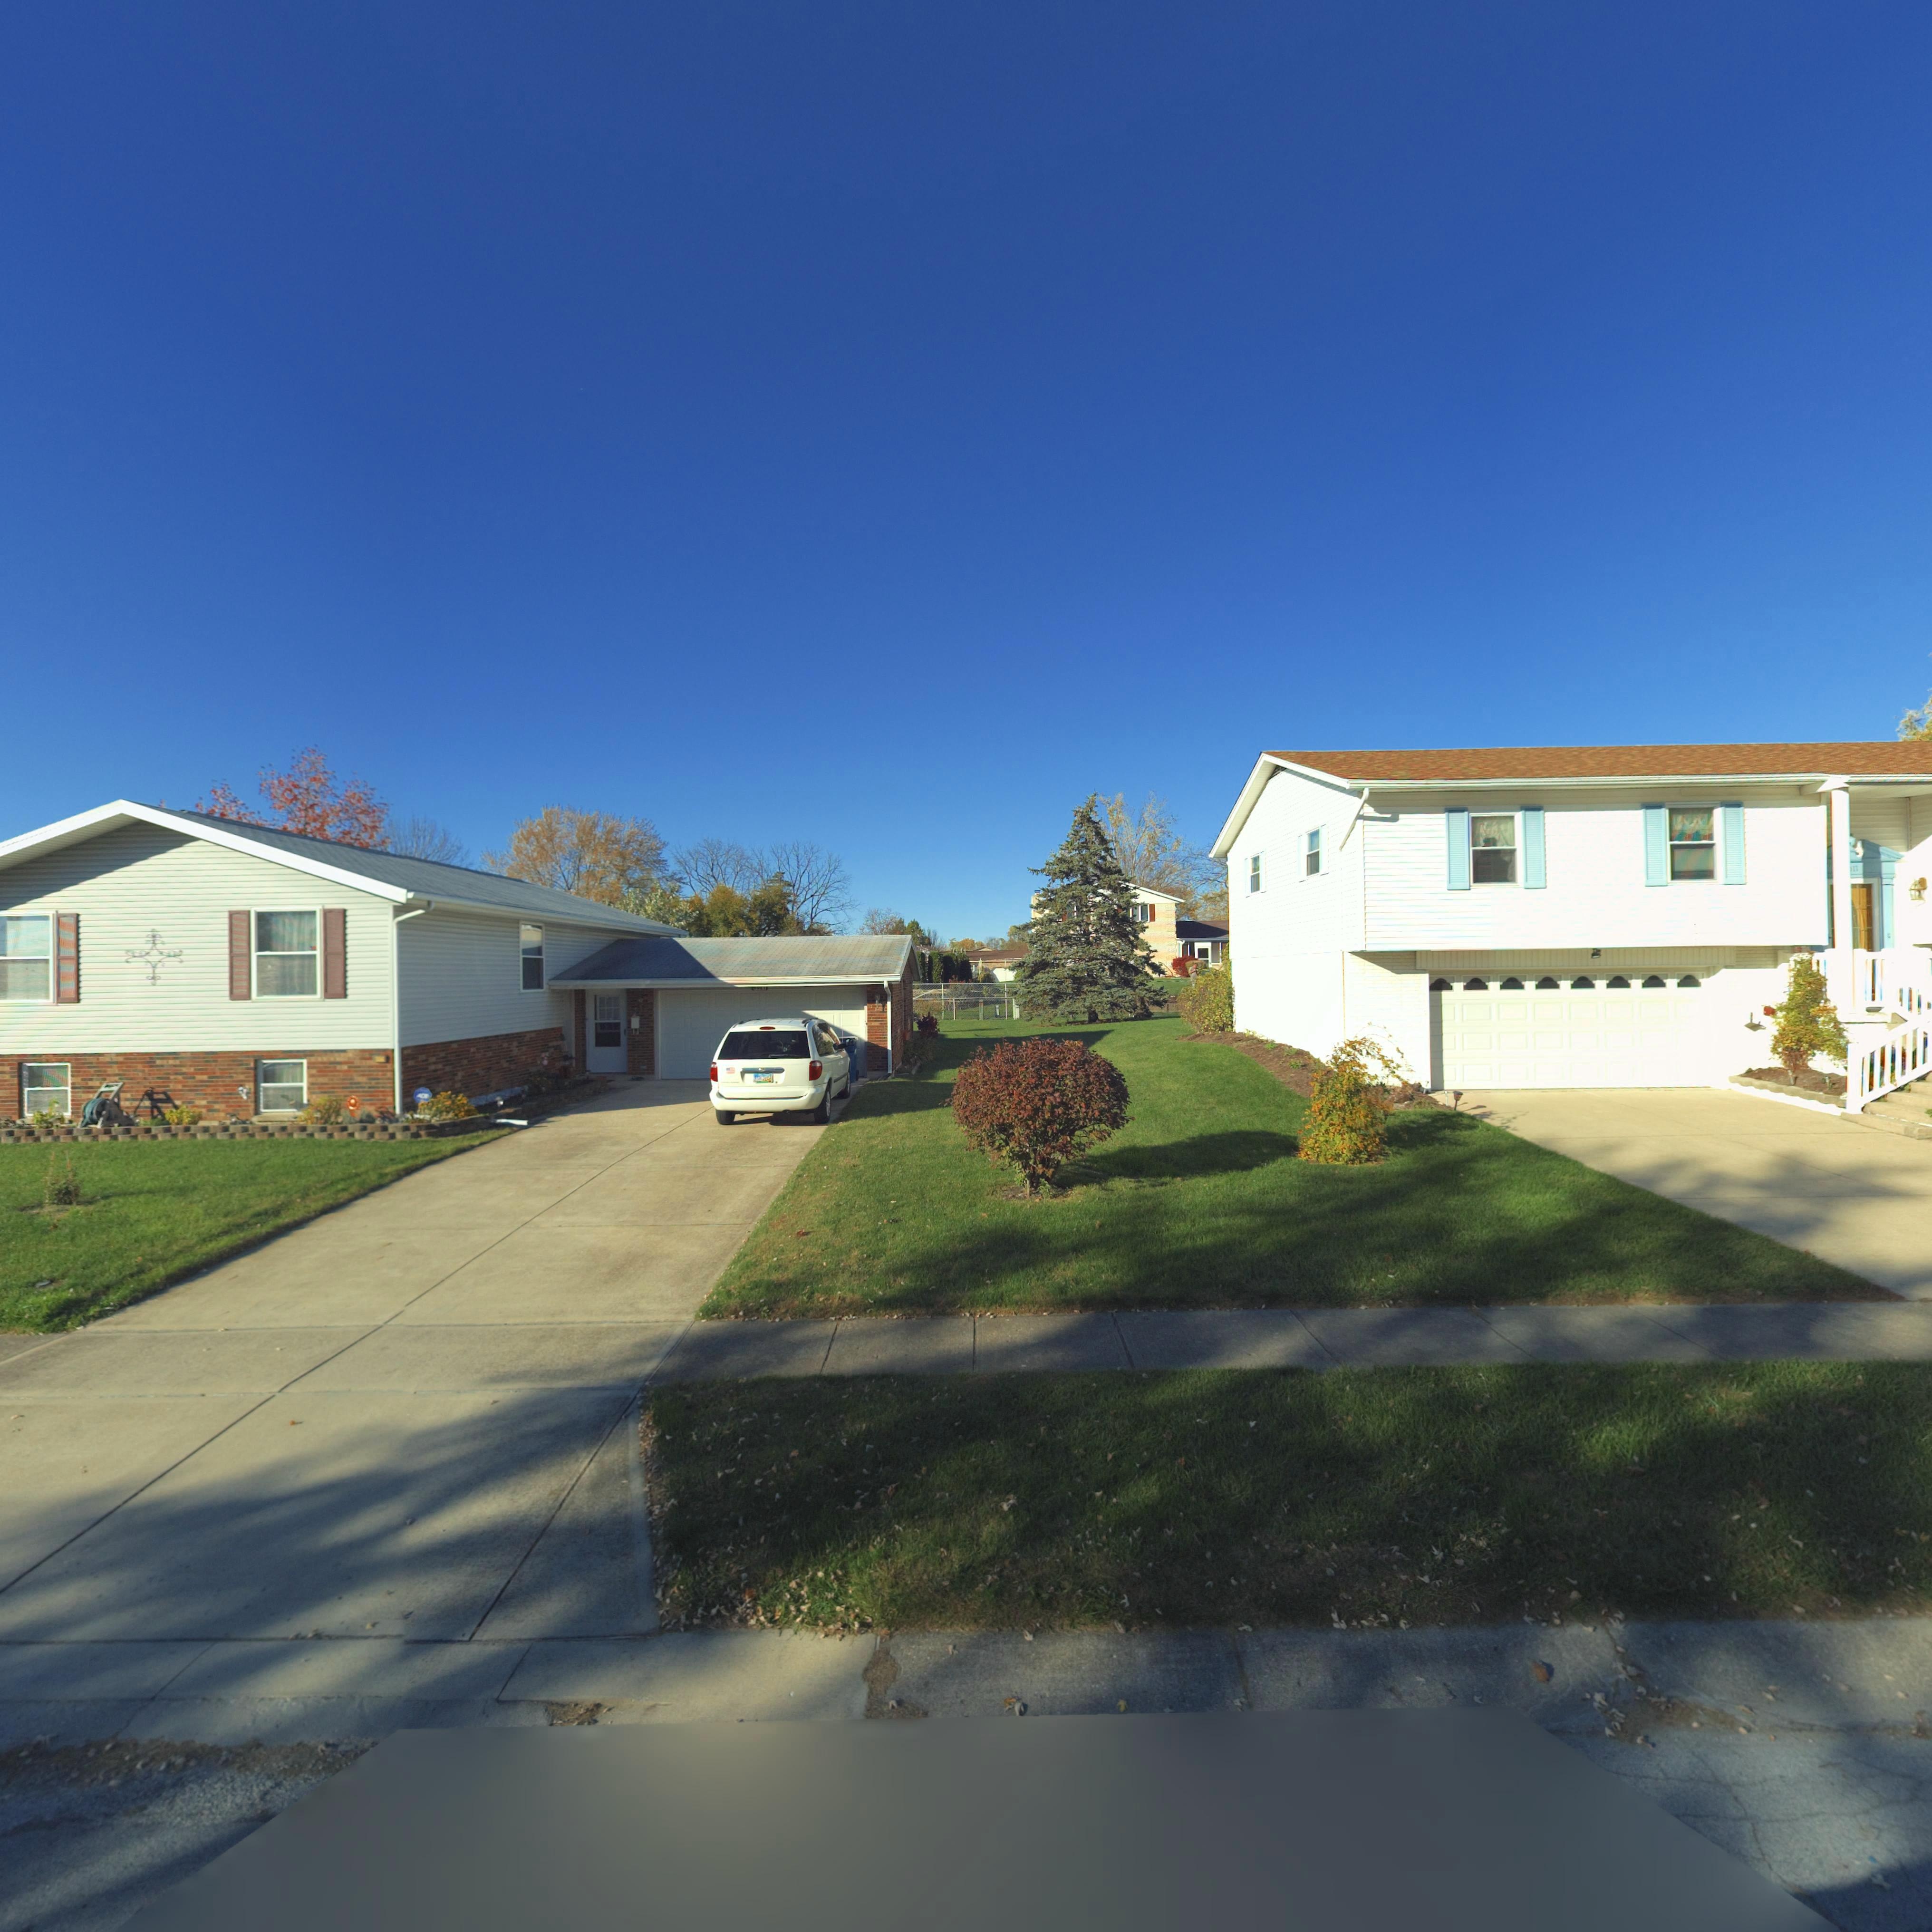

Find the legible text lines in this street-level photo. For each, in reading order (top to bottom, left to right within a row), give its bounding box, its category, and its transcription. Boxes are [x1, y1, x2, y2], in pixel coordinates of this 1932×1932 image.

[1853, 865, 1858, 872] StreetNumber: 11